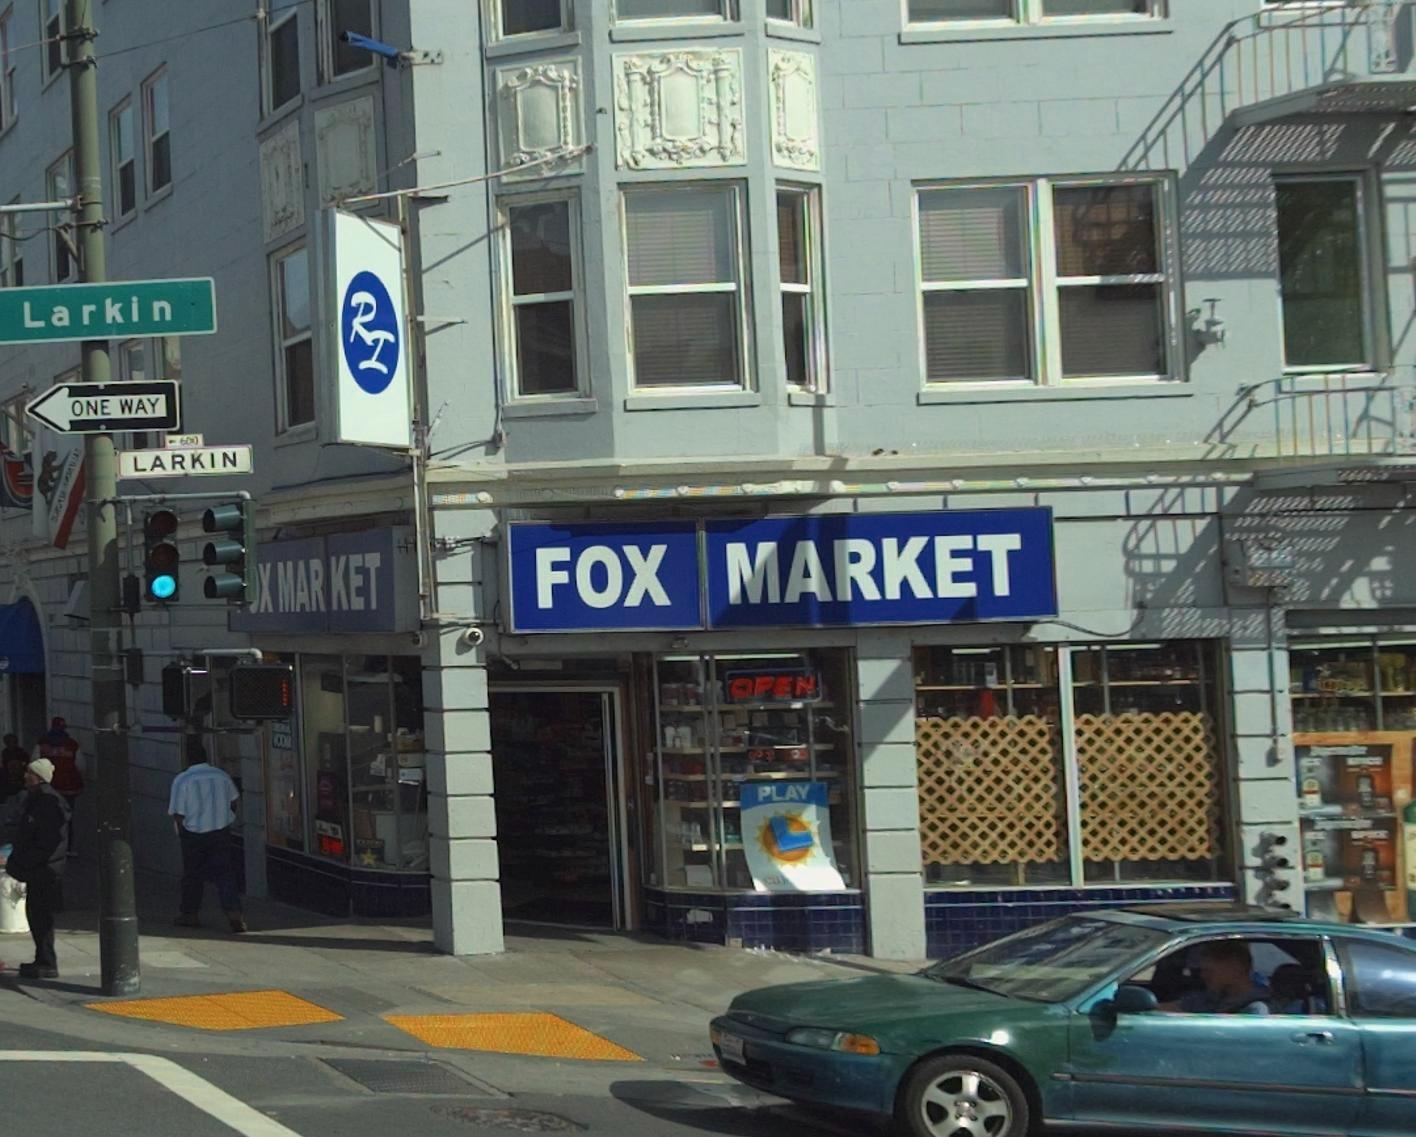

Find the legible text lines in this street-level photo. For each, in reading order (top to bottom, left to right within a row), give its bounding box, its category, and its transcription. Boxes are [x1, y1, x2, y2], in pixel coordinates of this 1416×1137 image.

[22, 290, 176, 331] StreetName: Larkin
[346, 285, 399, 381] None: RI
[68, 395, 163, 420] None: ONE WAY
[165, 433, 204, 450] StreetNumberRange: <-600
[130, 447, 240, 476] StreetName: LARKIN
[256, 548, 384, 616] BusinessName: X MARKET
[533, 530, 1025, 612] BusinessName: FOX MARKET
[279, 677, 290, 710] None: 1
[726, 671, 819, 700] None: OPEN
[754, 781, 814, 805] None: PLAY
[766, 813, 818, 854] None: L